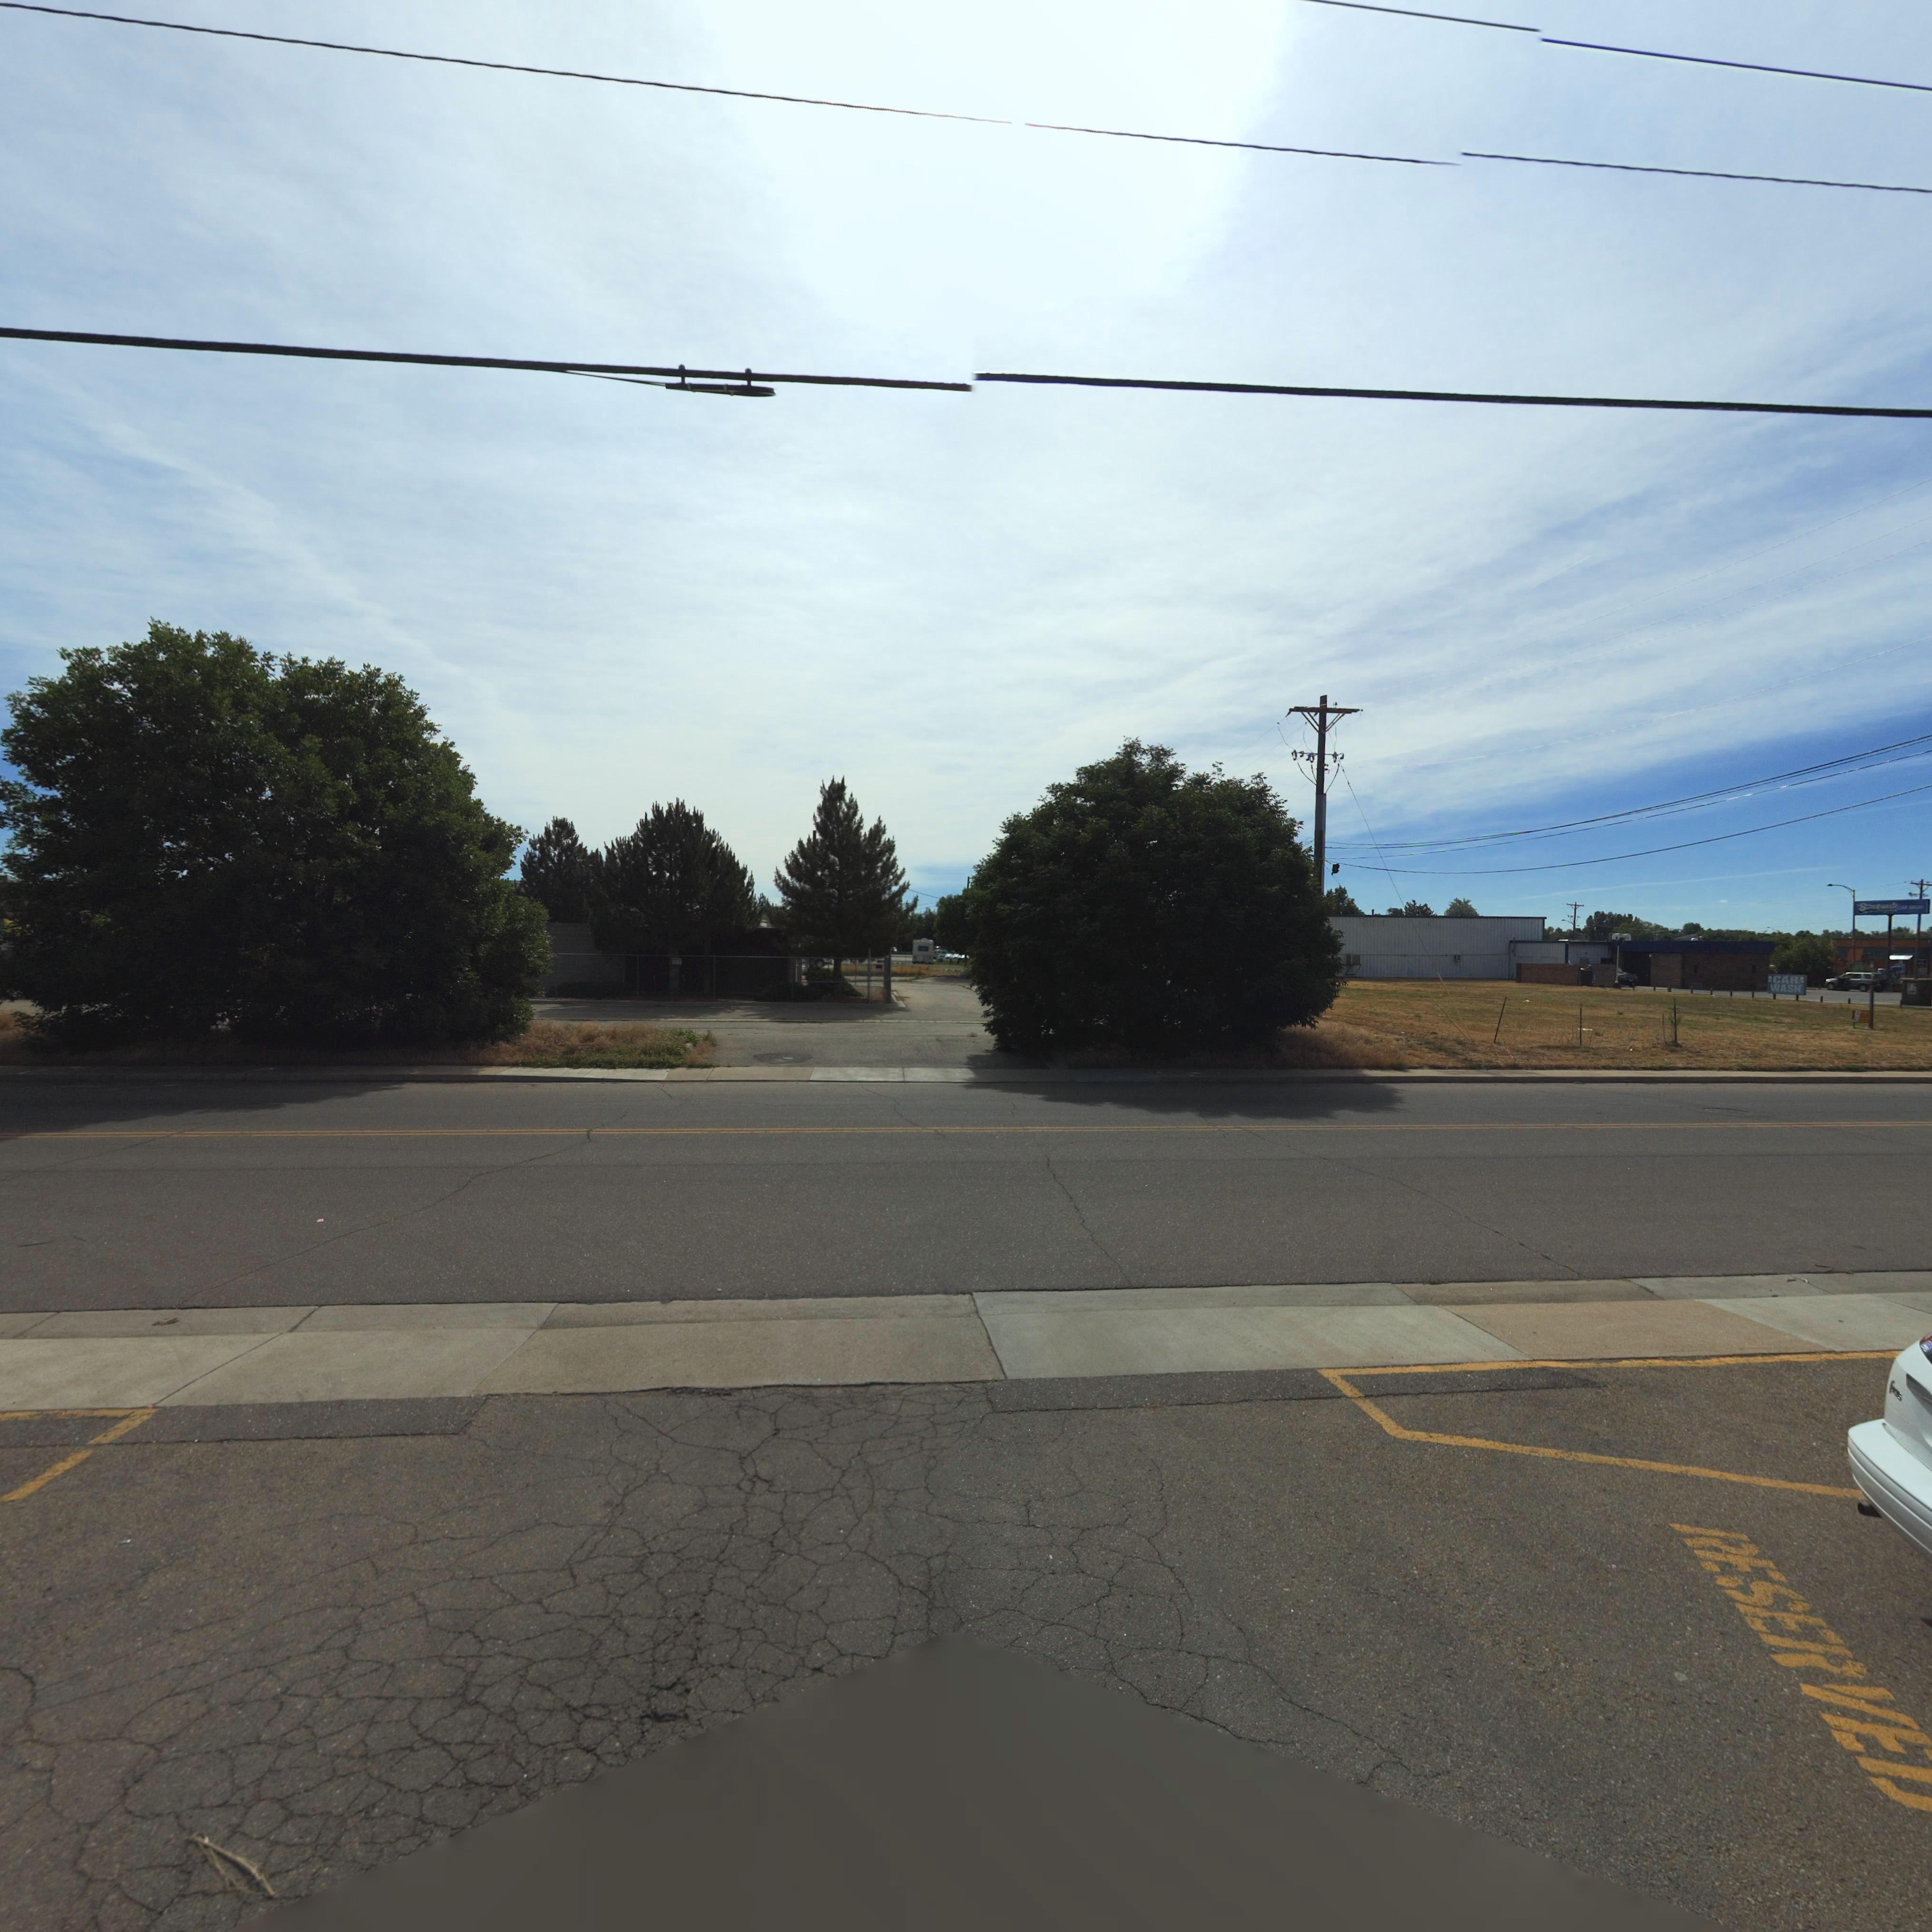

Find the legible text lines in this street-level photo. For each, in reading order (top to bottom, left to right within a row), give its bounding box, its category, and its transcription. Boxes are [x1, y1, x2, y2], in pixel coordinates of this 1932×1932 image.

[1858, 901, 1924, 912] BusinessName: S**** **** CO WASH